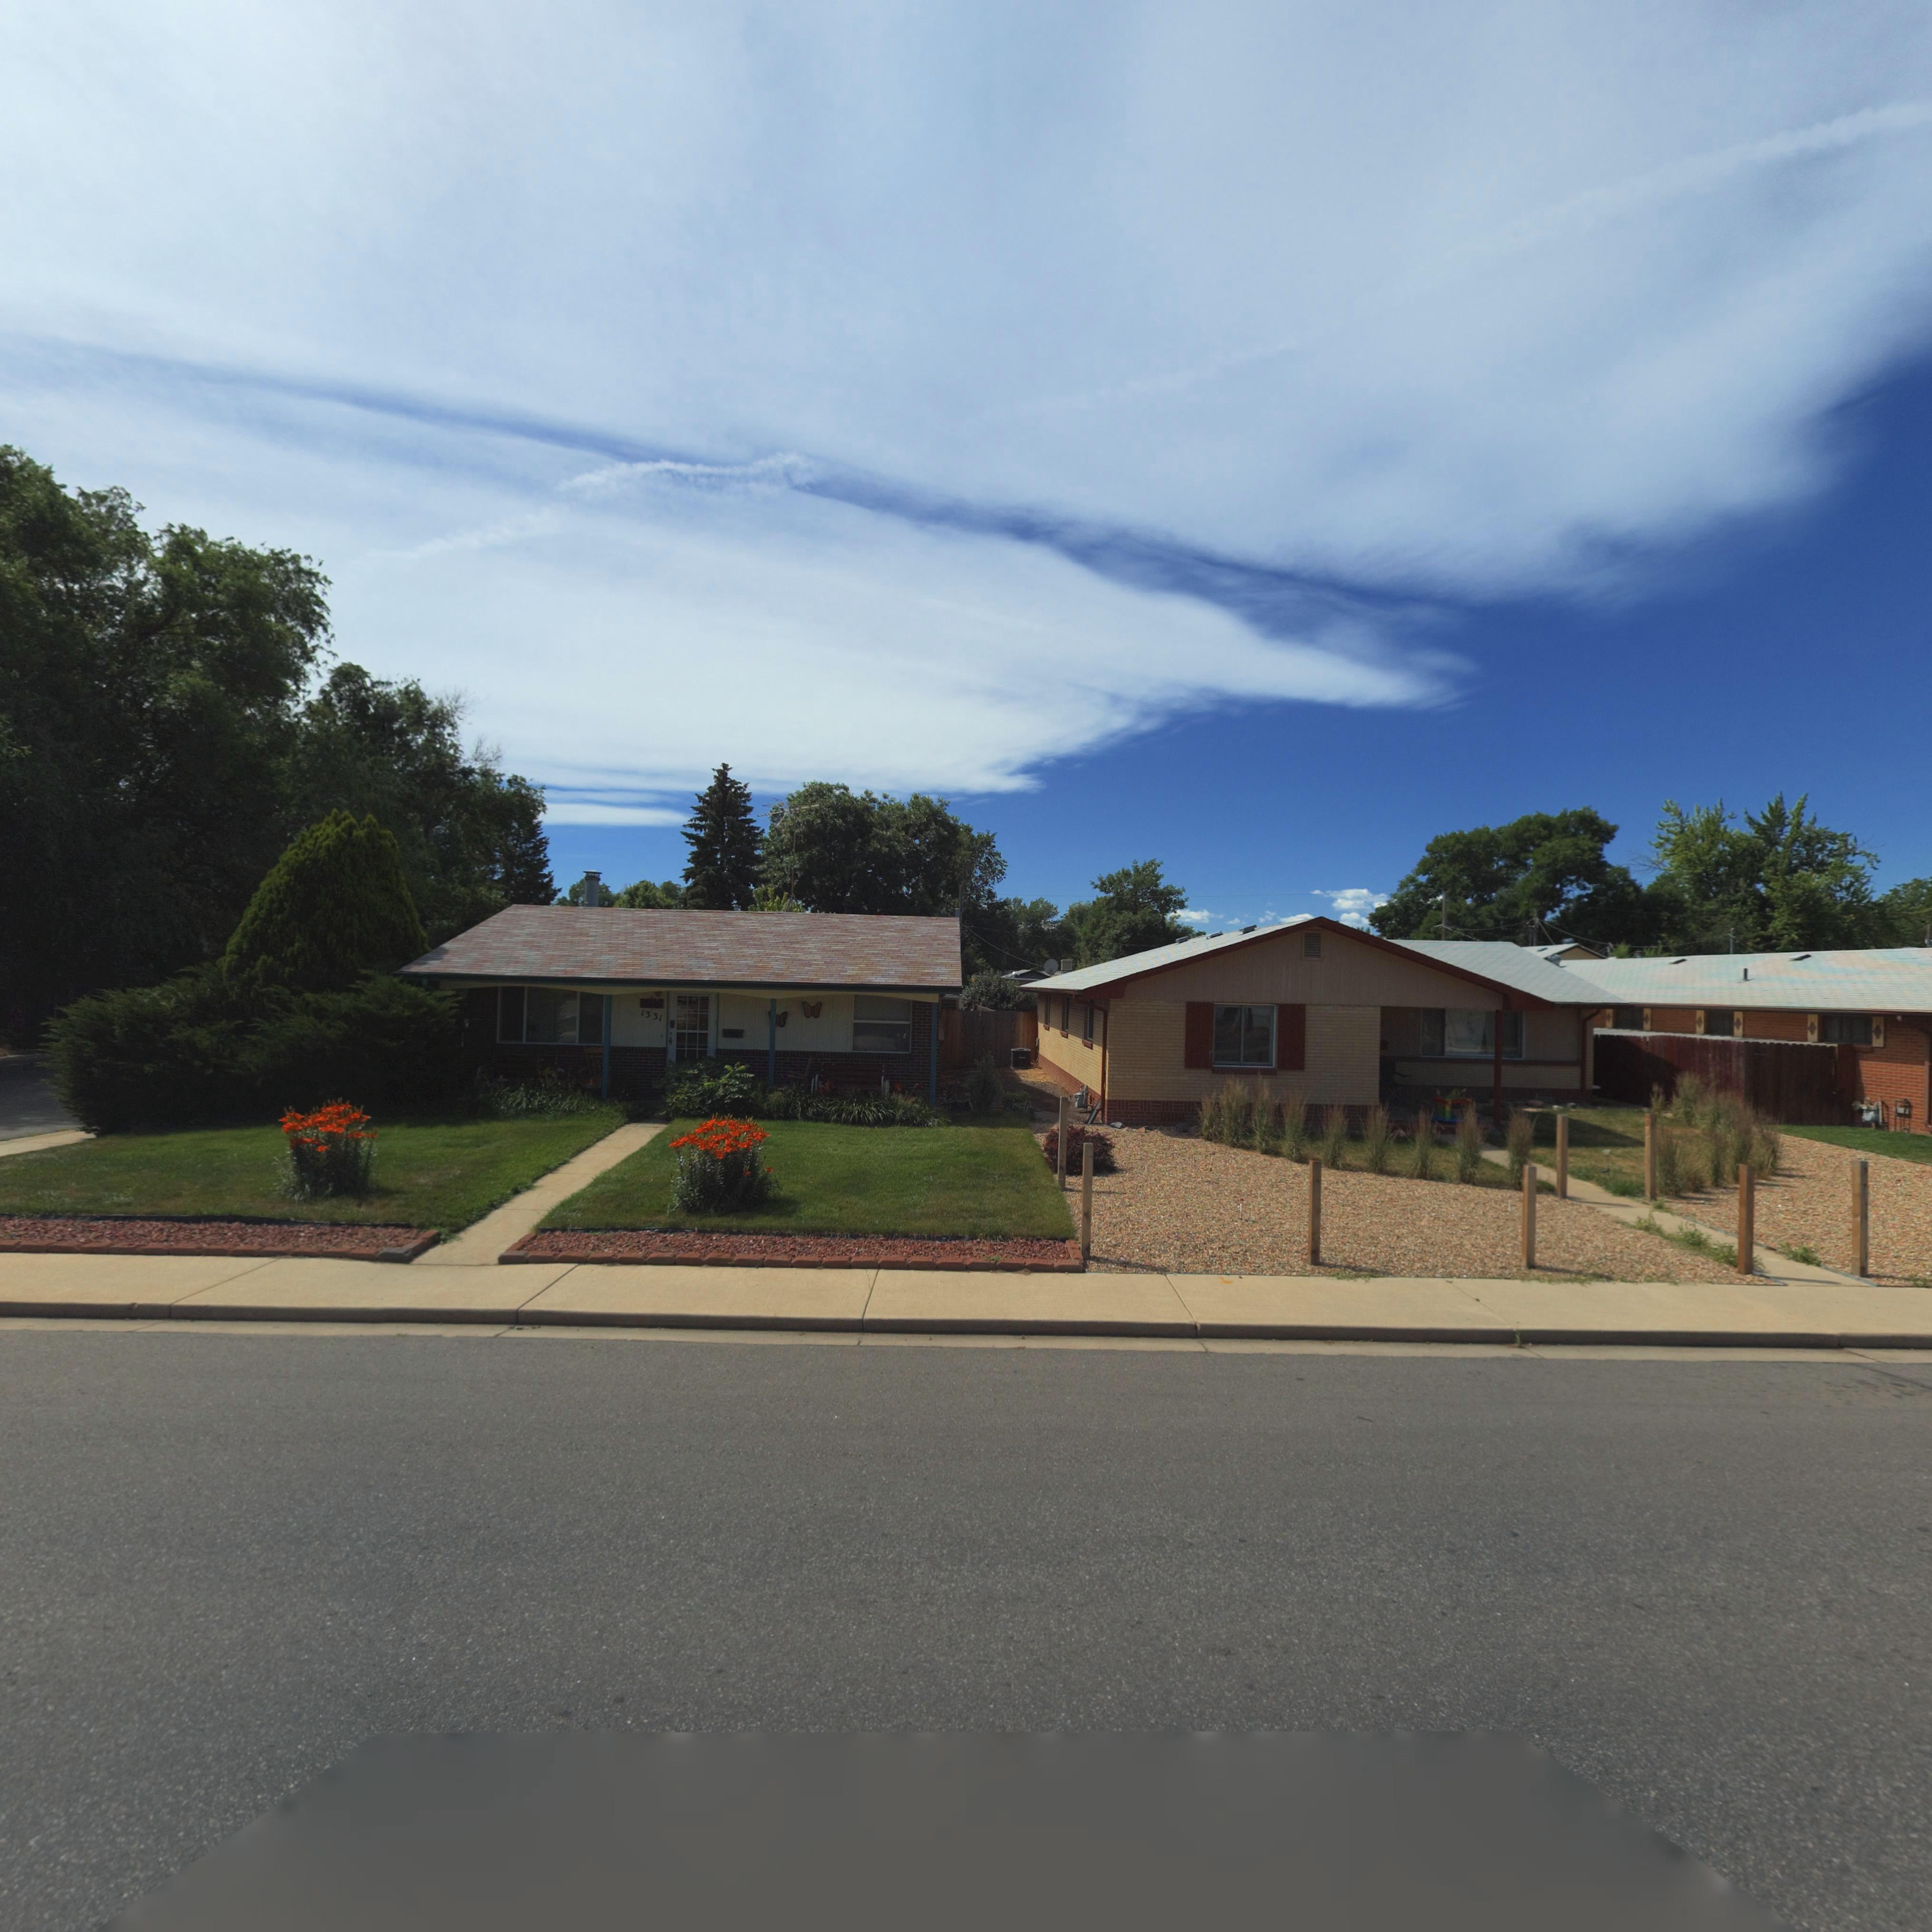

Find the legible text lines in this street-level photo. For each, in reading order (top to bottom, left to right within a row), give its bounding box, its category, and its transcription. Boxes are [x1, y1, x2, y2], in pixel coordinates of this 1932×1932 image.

[640, 1008, 662, 1022] StreetNumber: 1331